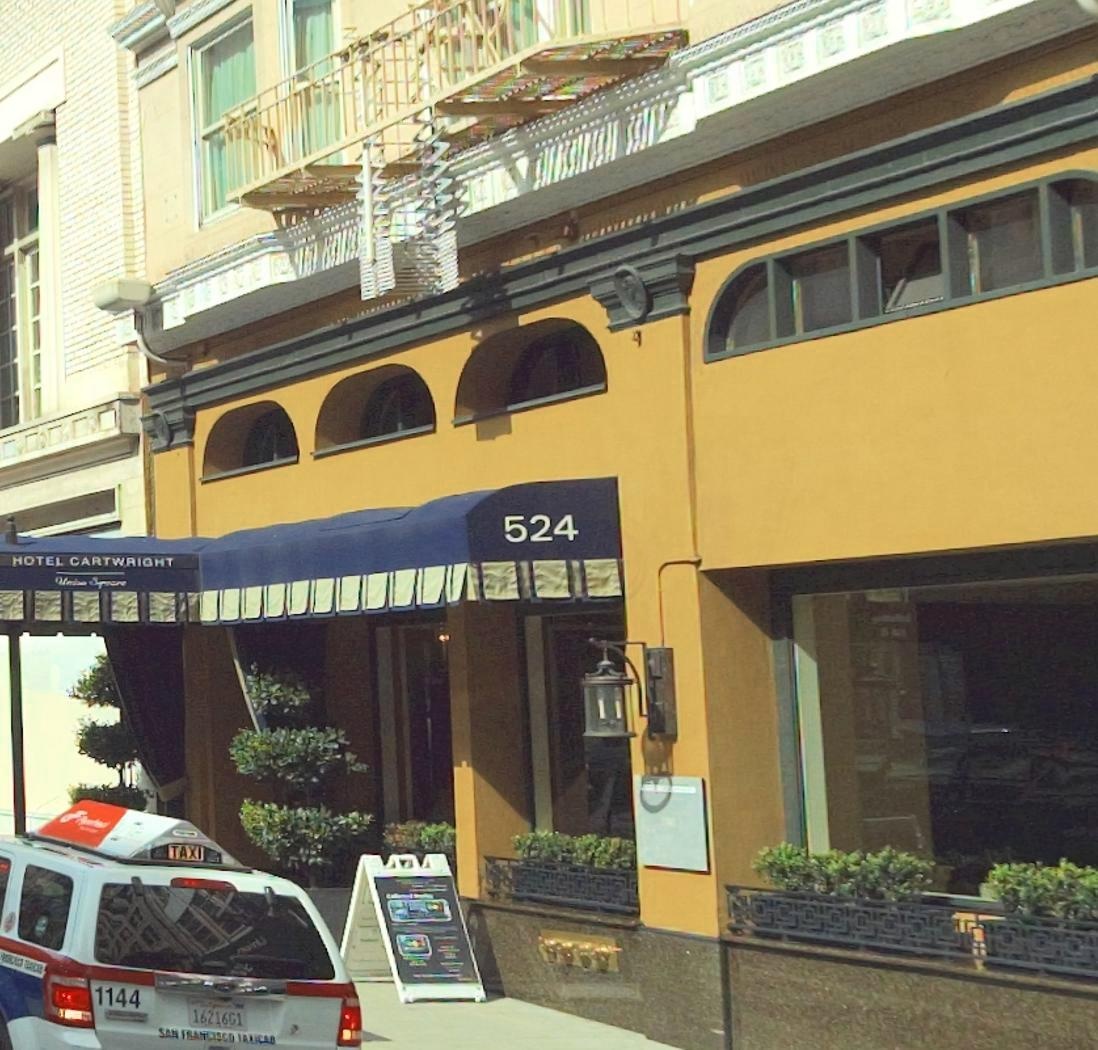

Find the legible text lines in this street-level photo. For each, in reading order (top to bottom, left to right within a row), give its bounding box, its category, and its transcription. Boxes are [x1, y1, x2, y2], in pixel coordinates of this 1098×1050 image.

[501, 510, 582, 547] StreetNumber: 524
[9, 550, 178, 573] BusinessName: HOTEL CARTWRIGHT
[167, 840, 207, 864] None: TAXI
[93, 982, 144, 1014] None: 1144
[189, 1007, 246, 1030] None: 16216G1
[154, 1023, 281, 1050] None: SAN FRANCISCO *A**CAB